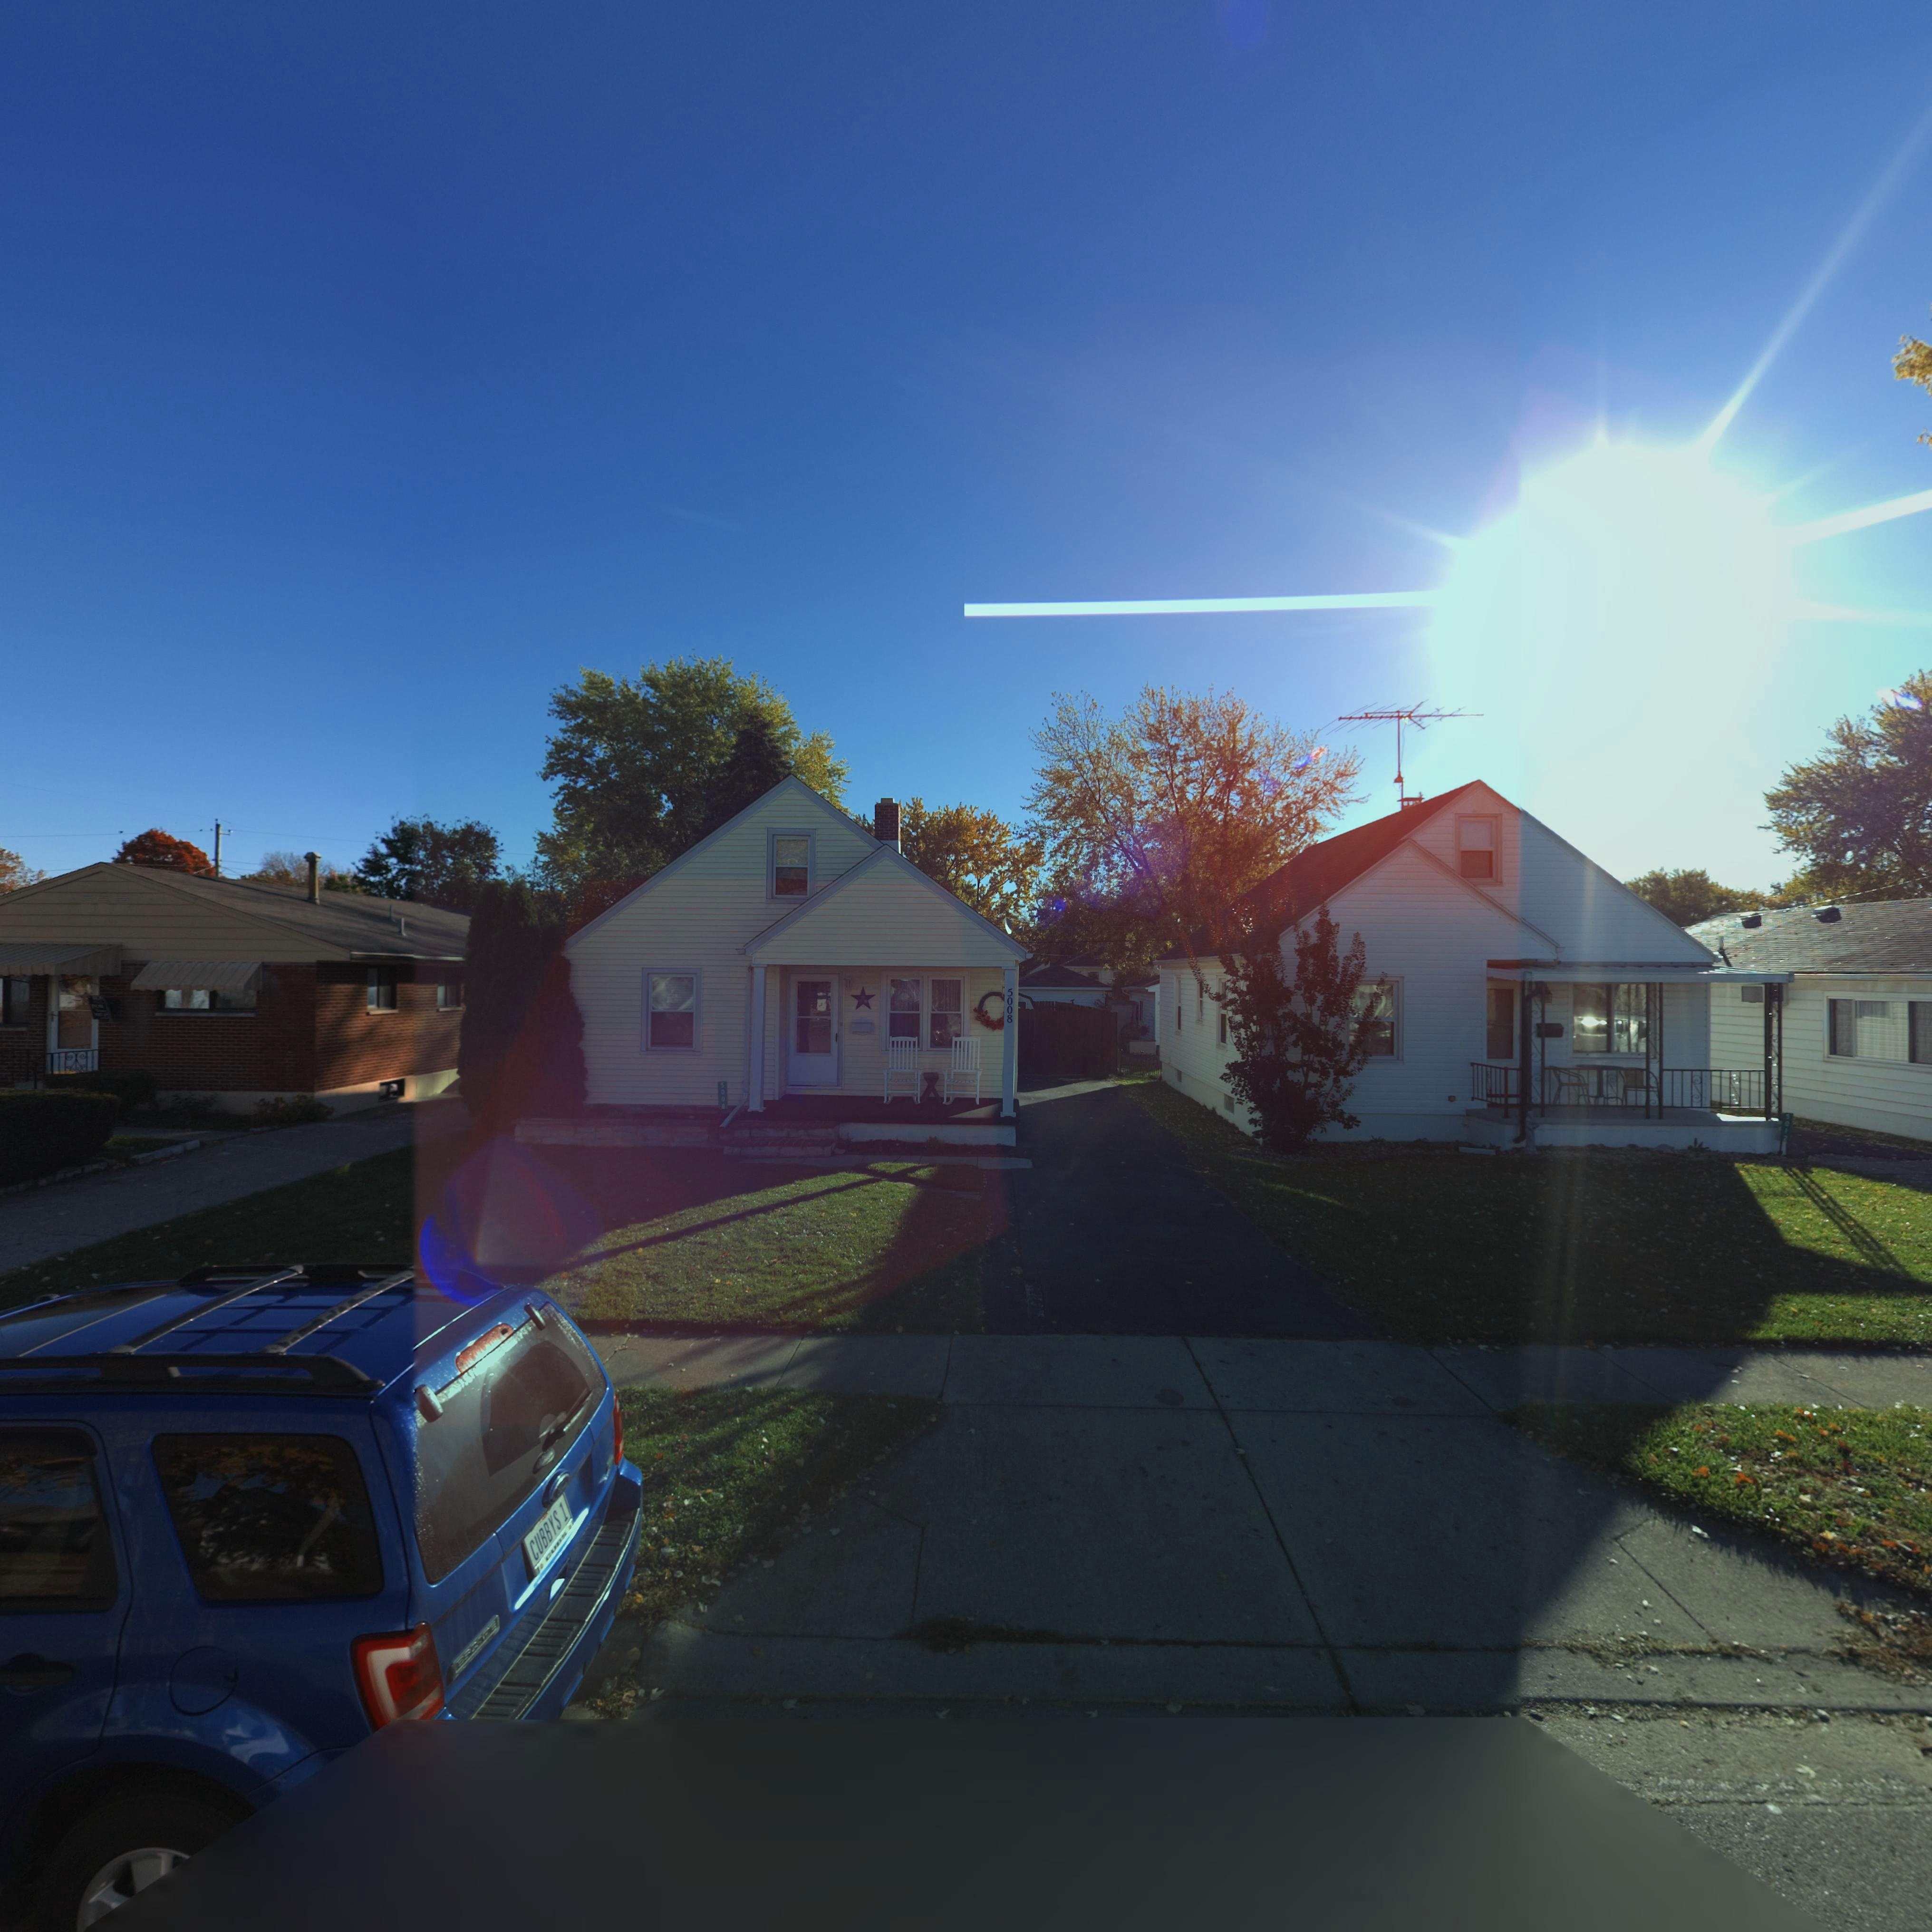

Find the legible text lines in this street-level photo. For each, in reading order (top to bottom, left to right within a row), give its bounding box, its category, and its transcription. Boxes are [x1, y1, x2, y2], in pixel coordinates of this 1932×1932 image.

[1006, 987, 1014, 1024] StreetNumber: 5008
[720, 1082, 725, 1110] StreetNumber: 5008
[1782, 1113, 1791, 1142] StreetNumber: 5012